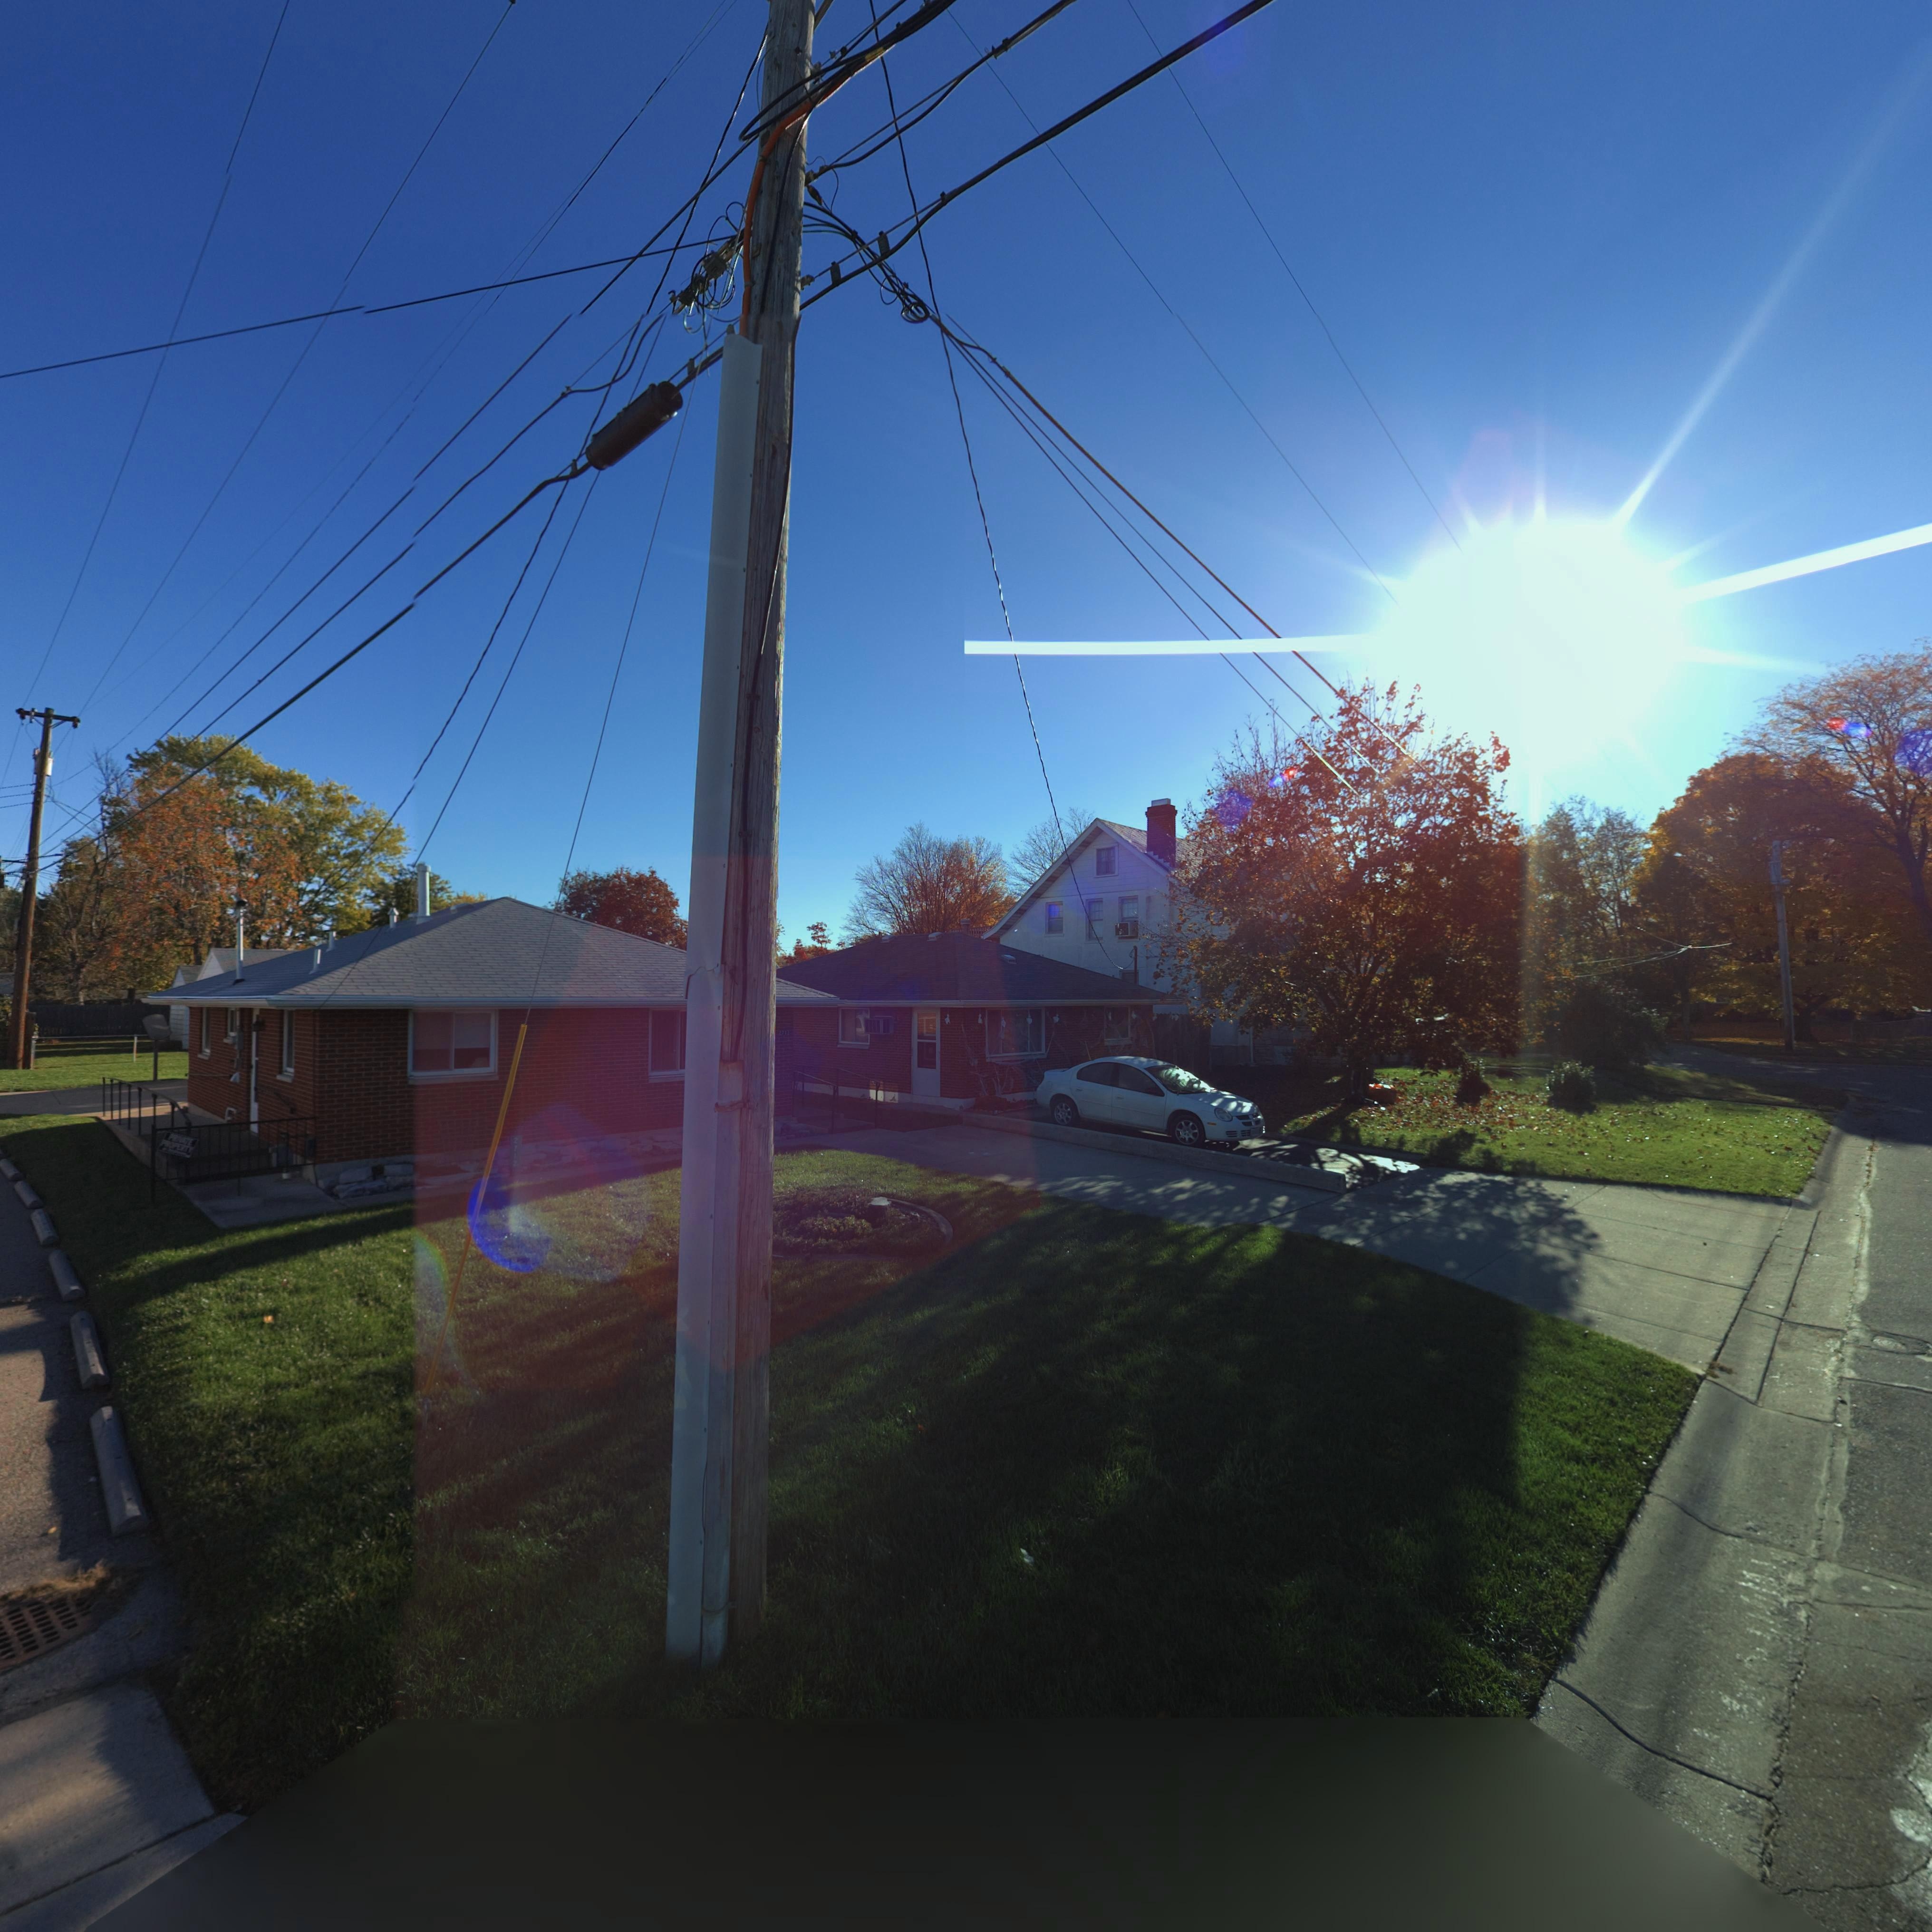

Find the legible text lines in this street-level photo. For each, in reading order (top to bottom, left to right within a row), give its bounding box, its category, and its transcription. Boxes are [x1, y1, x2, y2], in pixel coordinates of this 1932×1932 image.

[512, 1137, 519, 1167] StreetNumber: 2712